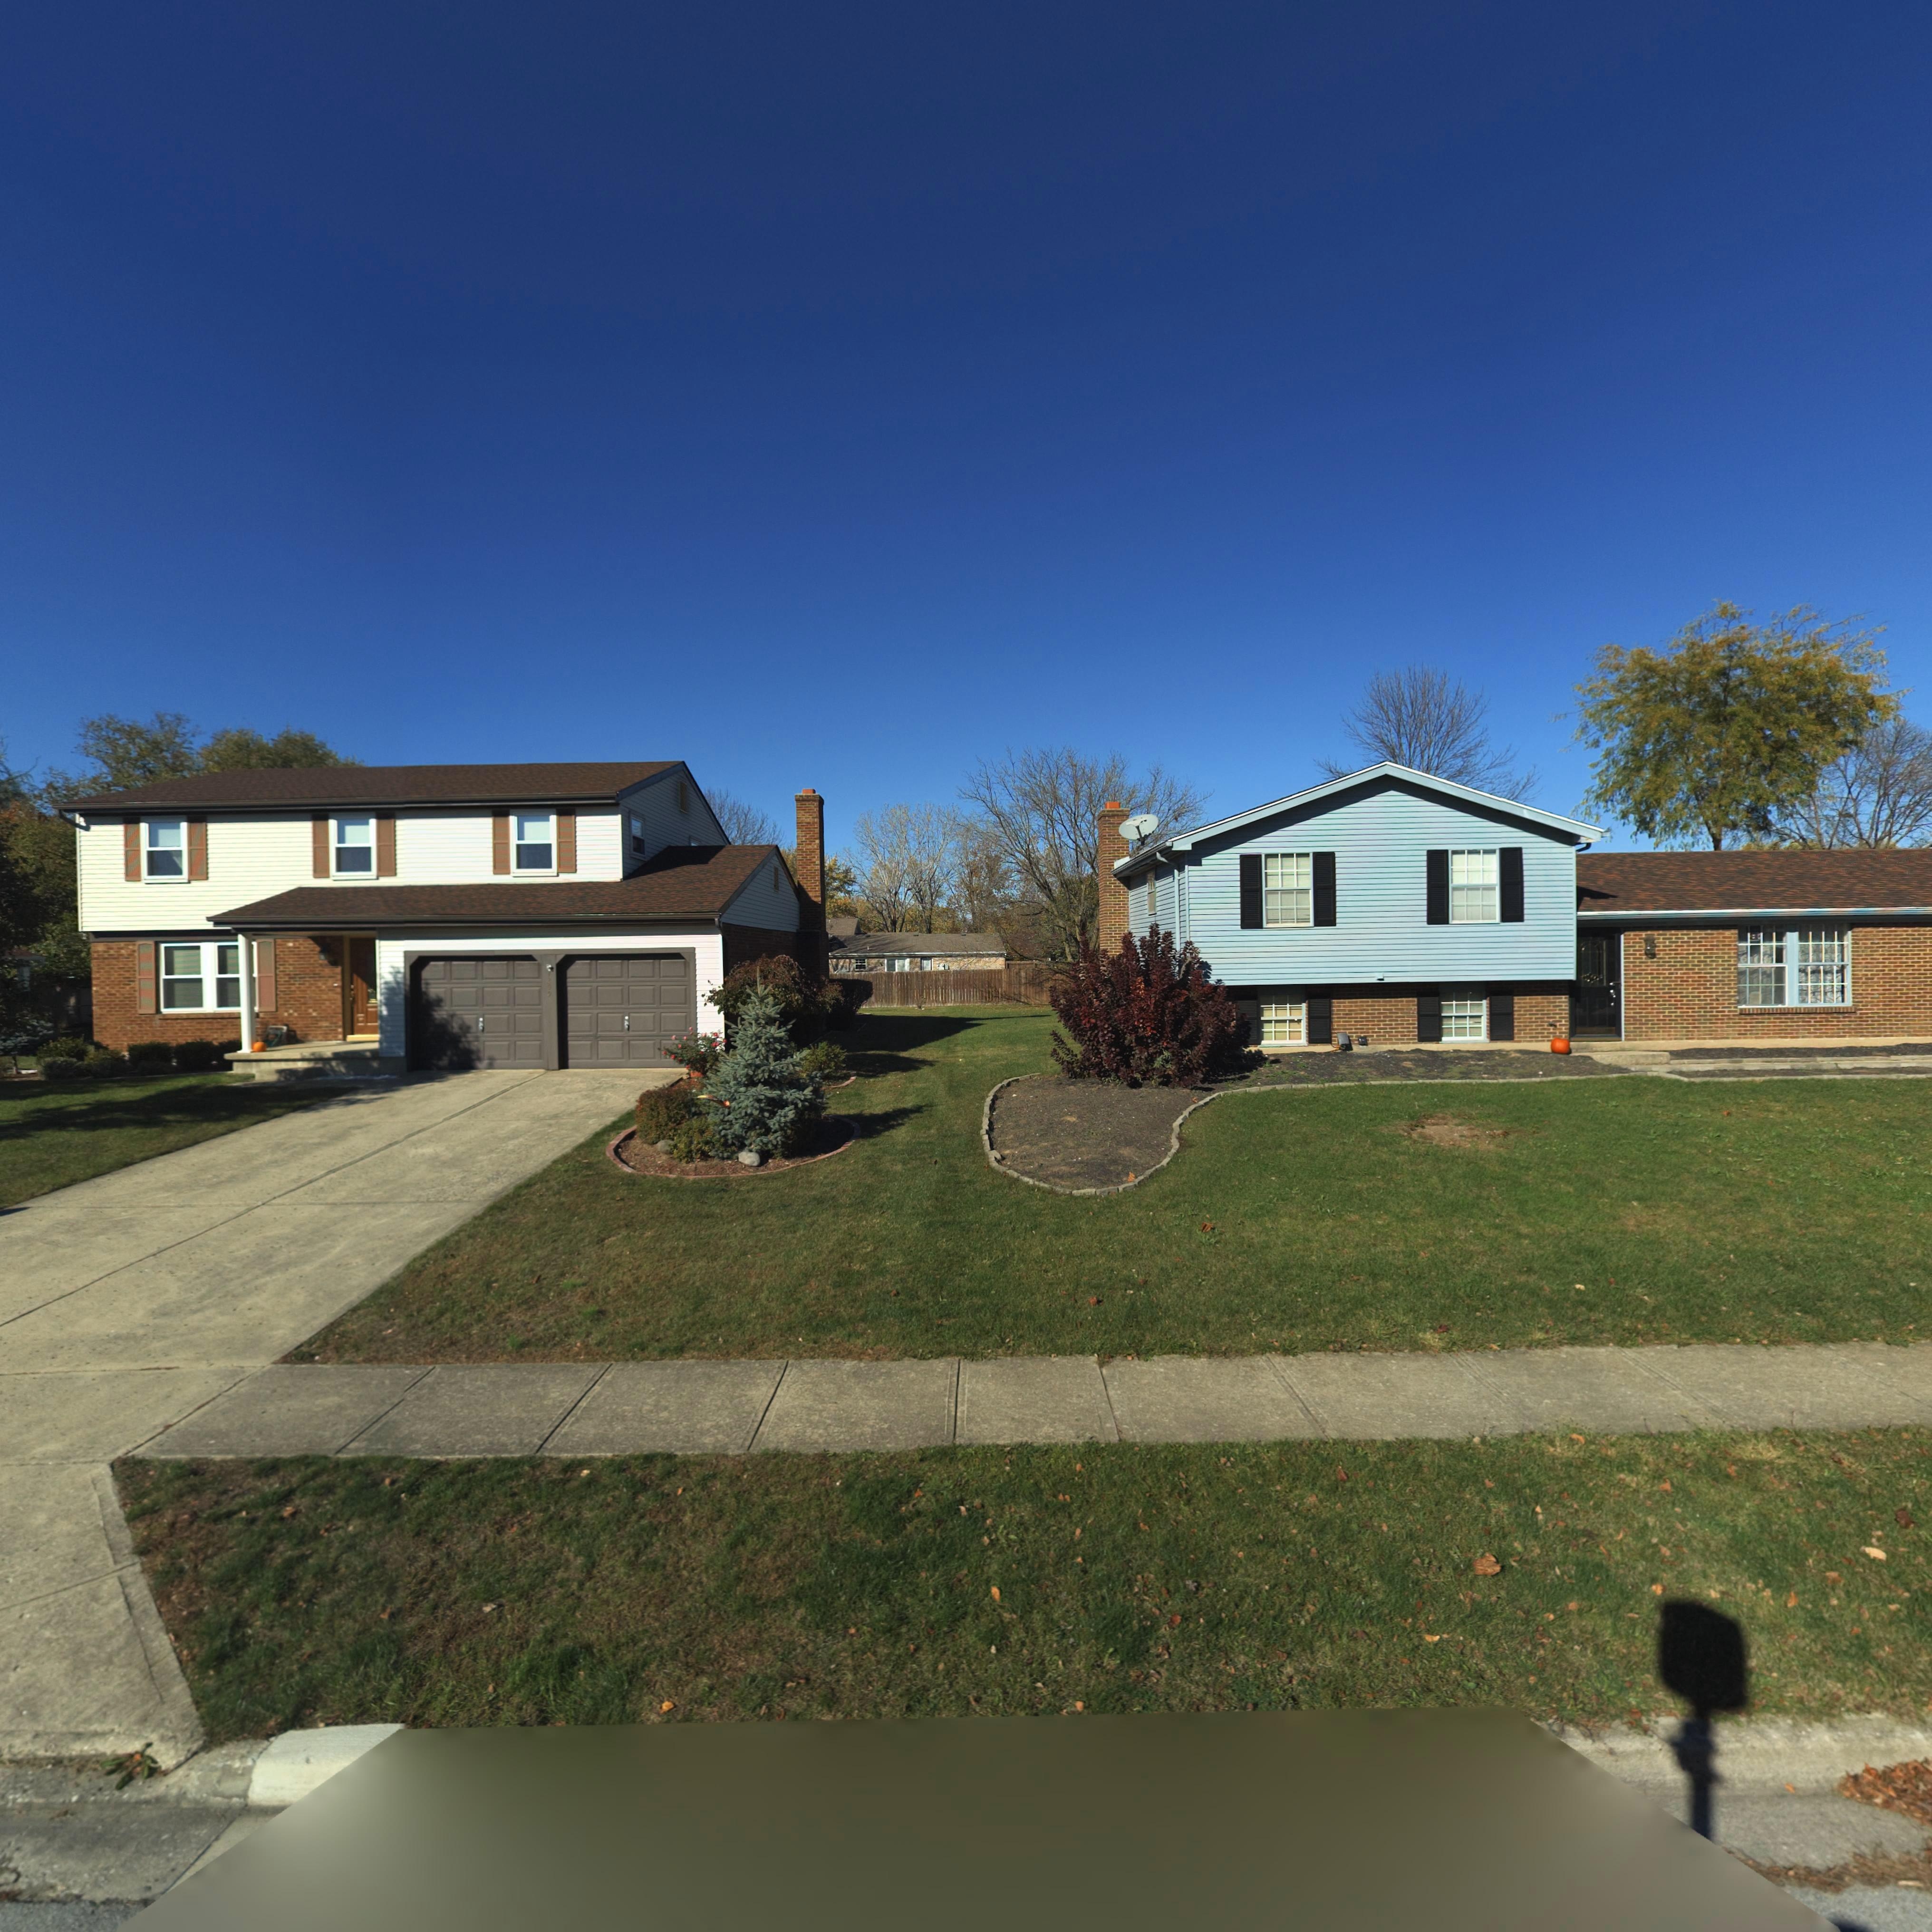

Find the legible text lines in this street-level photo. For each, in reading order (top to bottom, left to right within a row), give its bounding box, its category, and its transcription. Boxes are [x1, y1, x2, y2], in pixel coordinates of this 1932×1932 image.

[546, 971, 552, 997] StreetNumber: *209